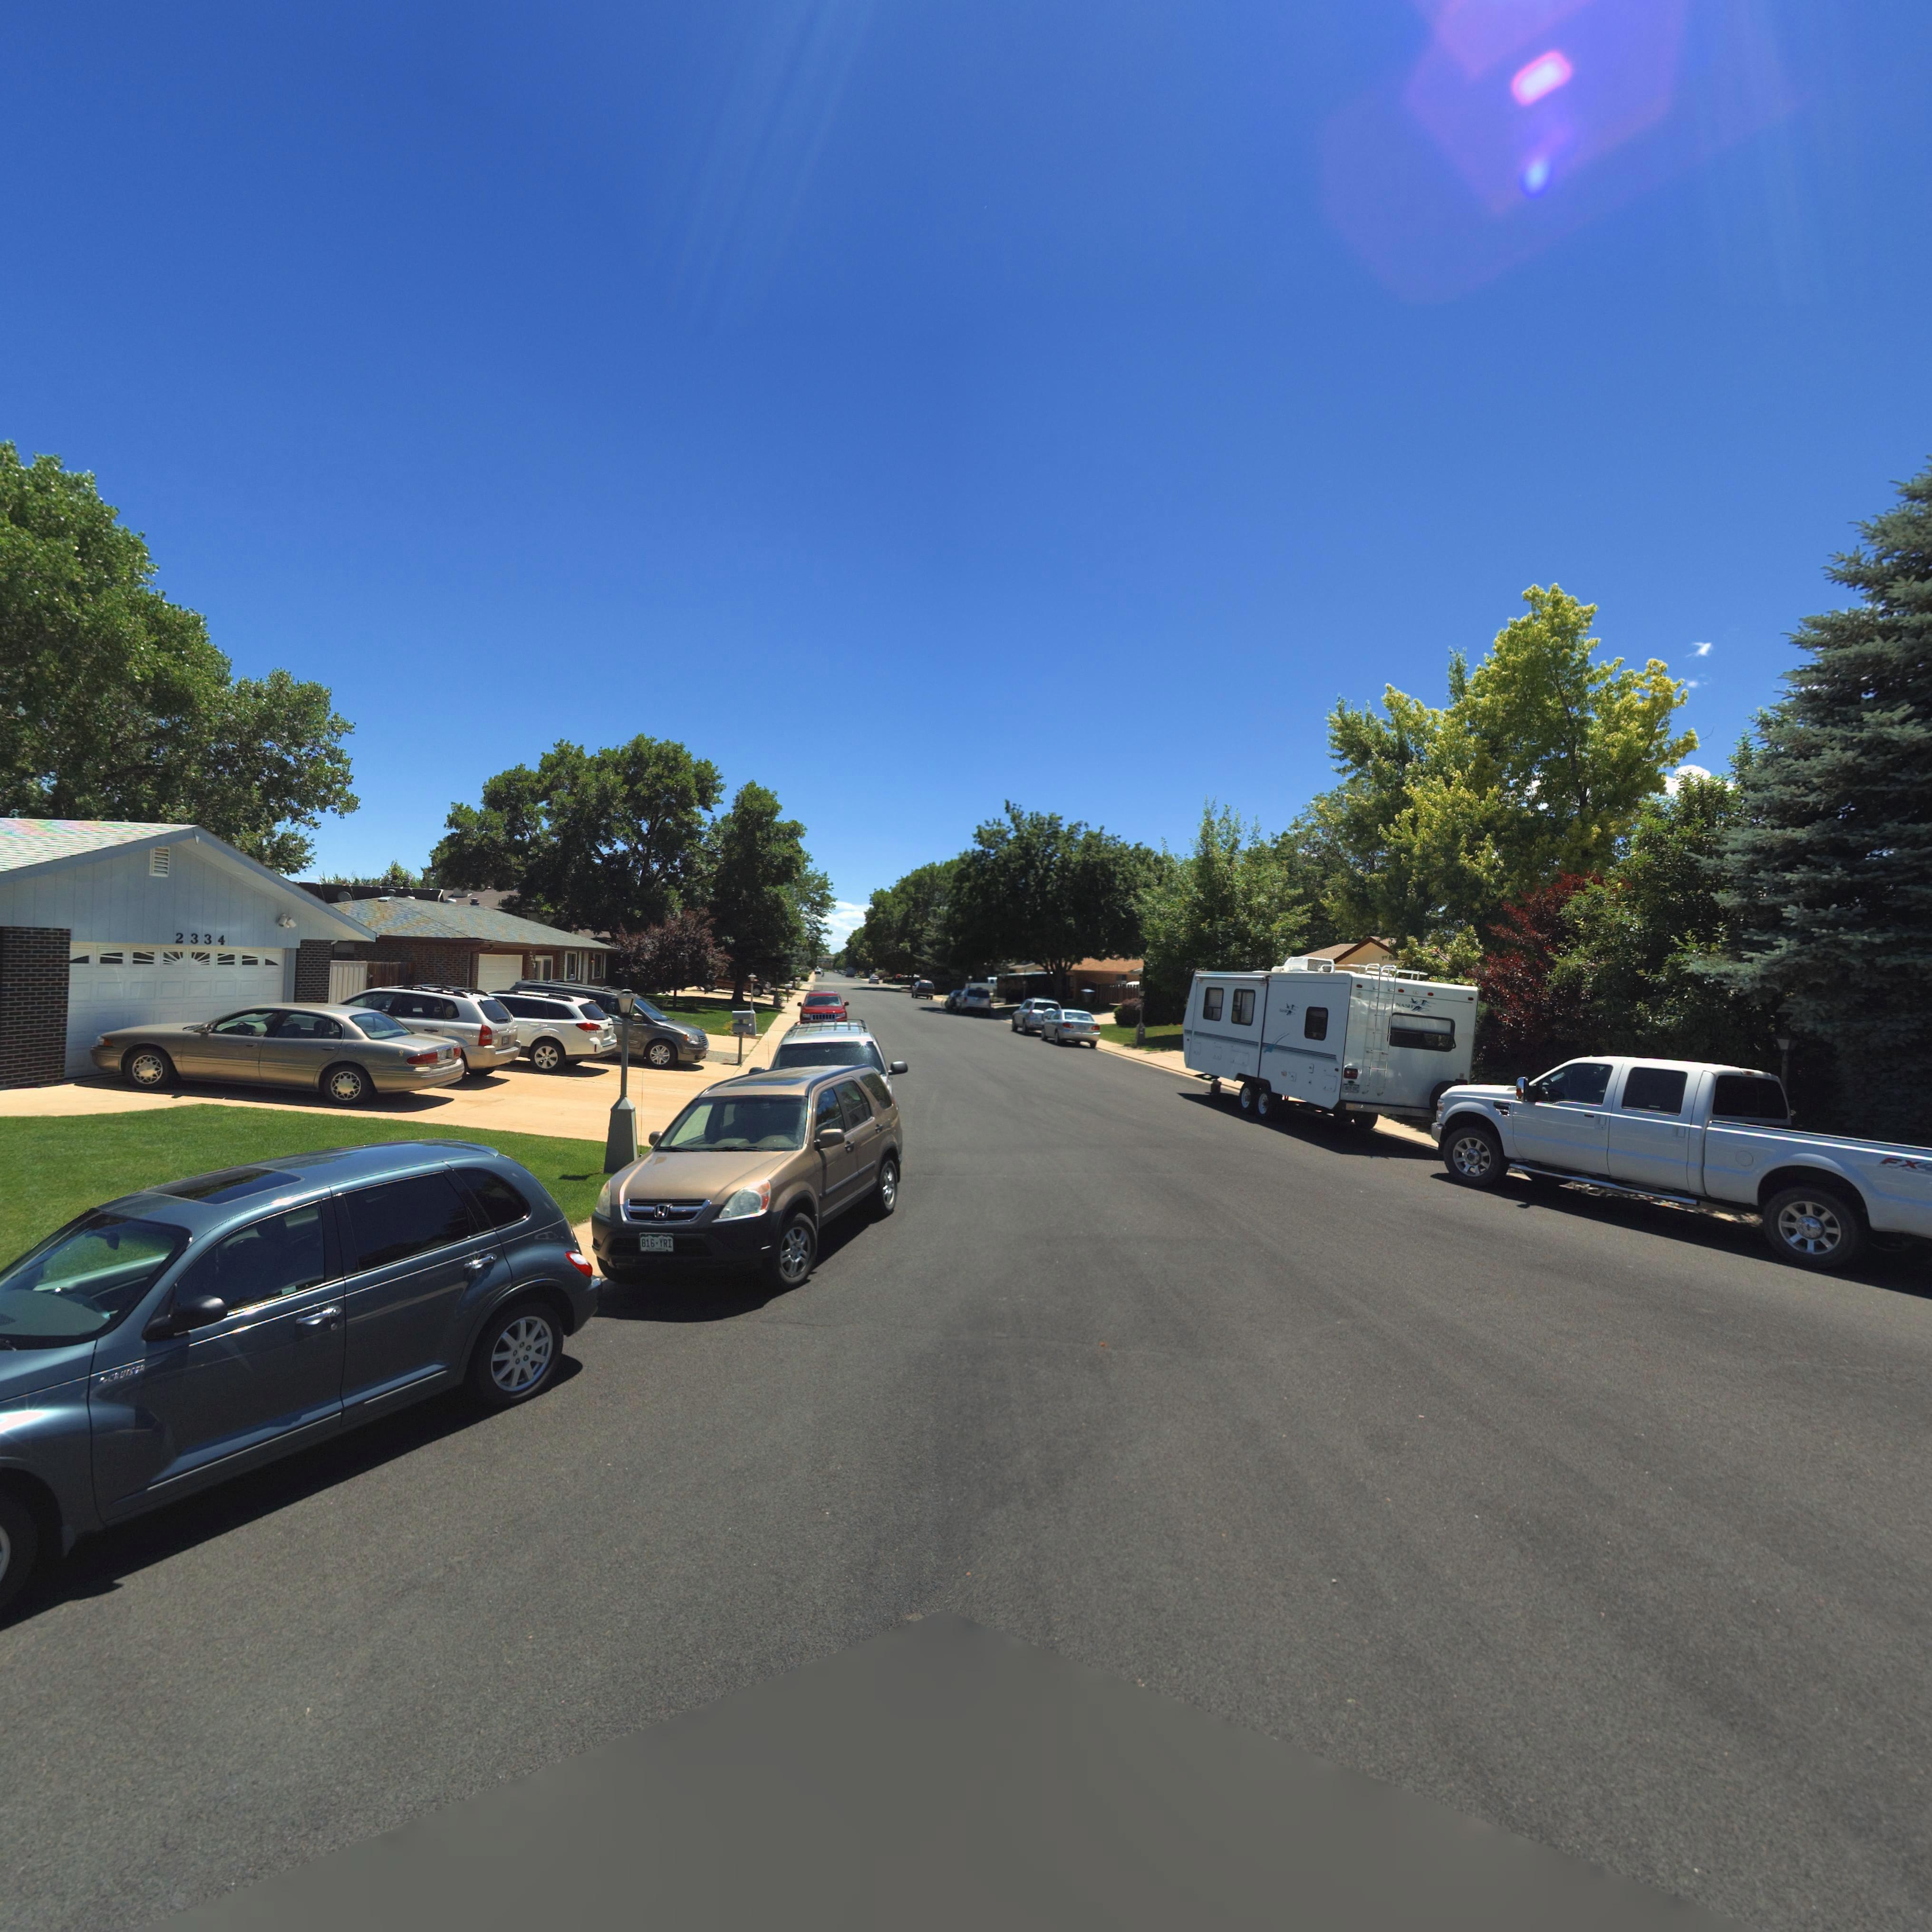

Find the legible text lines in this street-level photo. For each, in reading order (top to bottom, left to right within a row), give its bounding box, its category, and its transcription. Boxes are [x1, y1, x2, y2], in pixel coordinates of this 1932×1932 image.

[175, 932, 225, 946] StreetNumber: 2334